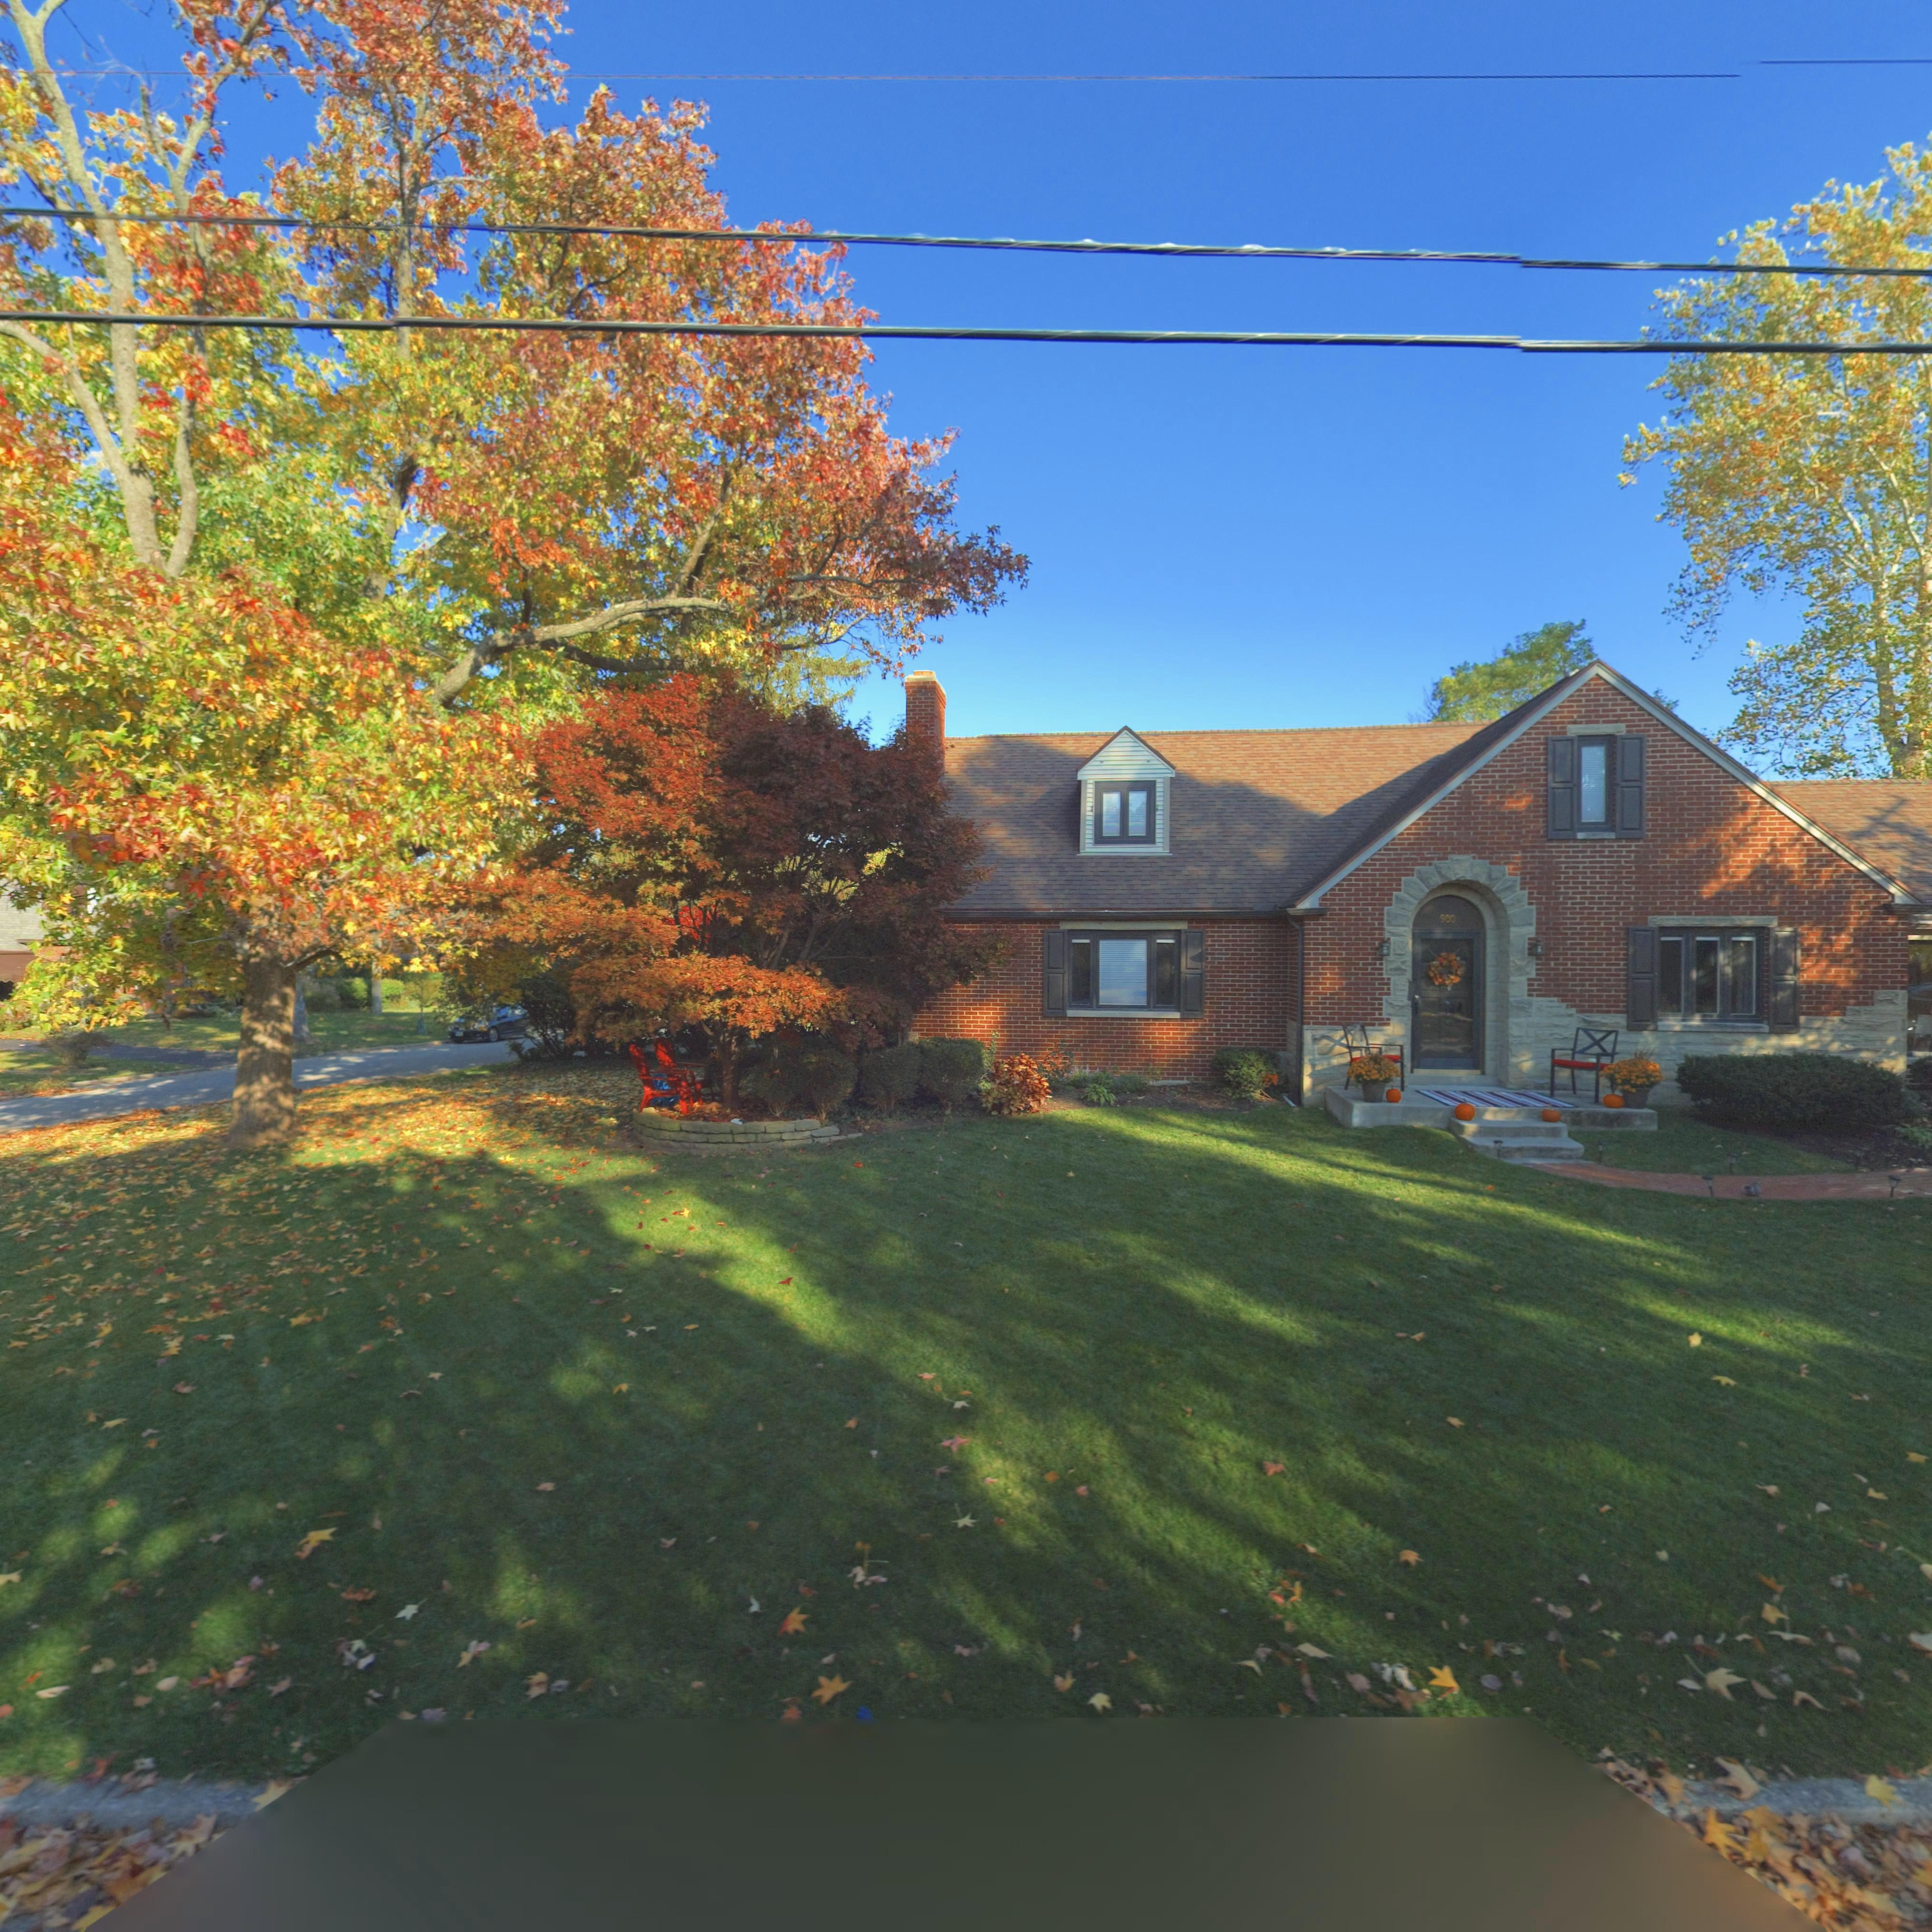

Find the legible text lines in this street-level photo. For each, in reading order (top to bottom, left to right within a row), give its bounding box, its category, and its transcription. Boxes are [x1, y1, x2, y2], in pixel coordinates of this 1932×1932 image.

[1439, 914, 1456, 923] StreetNumber: 900